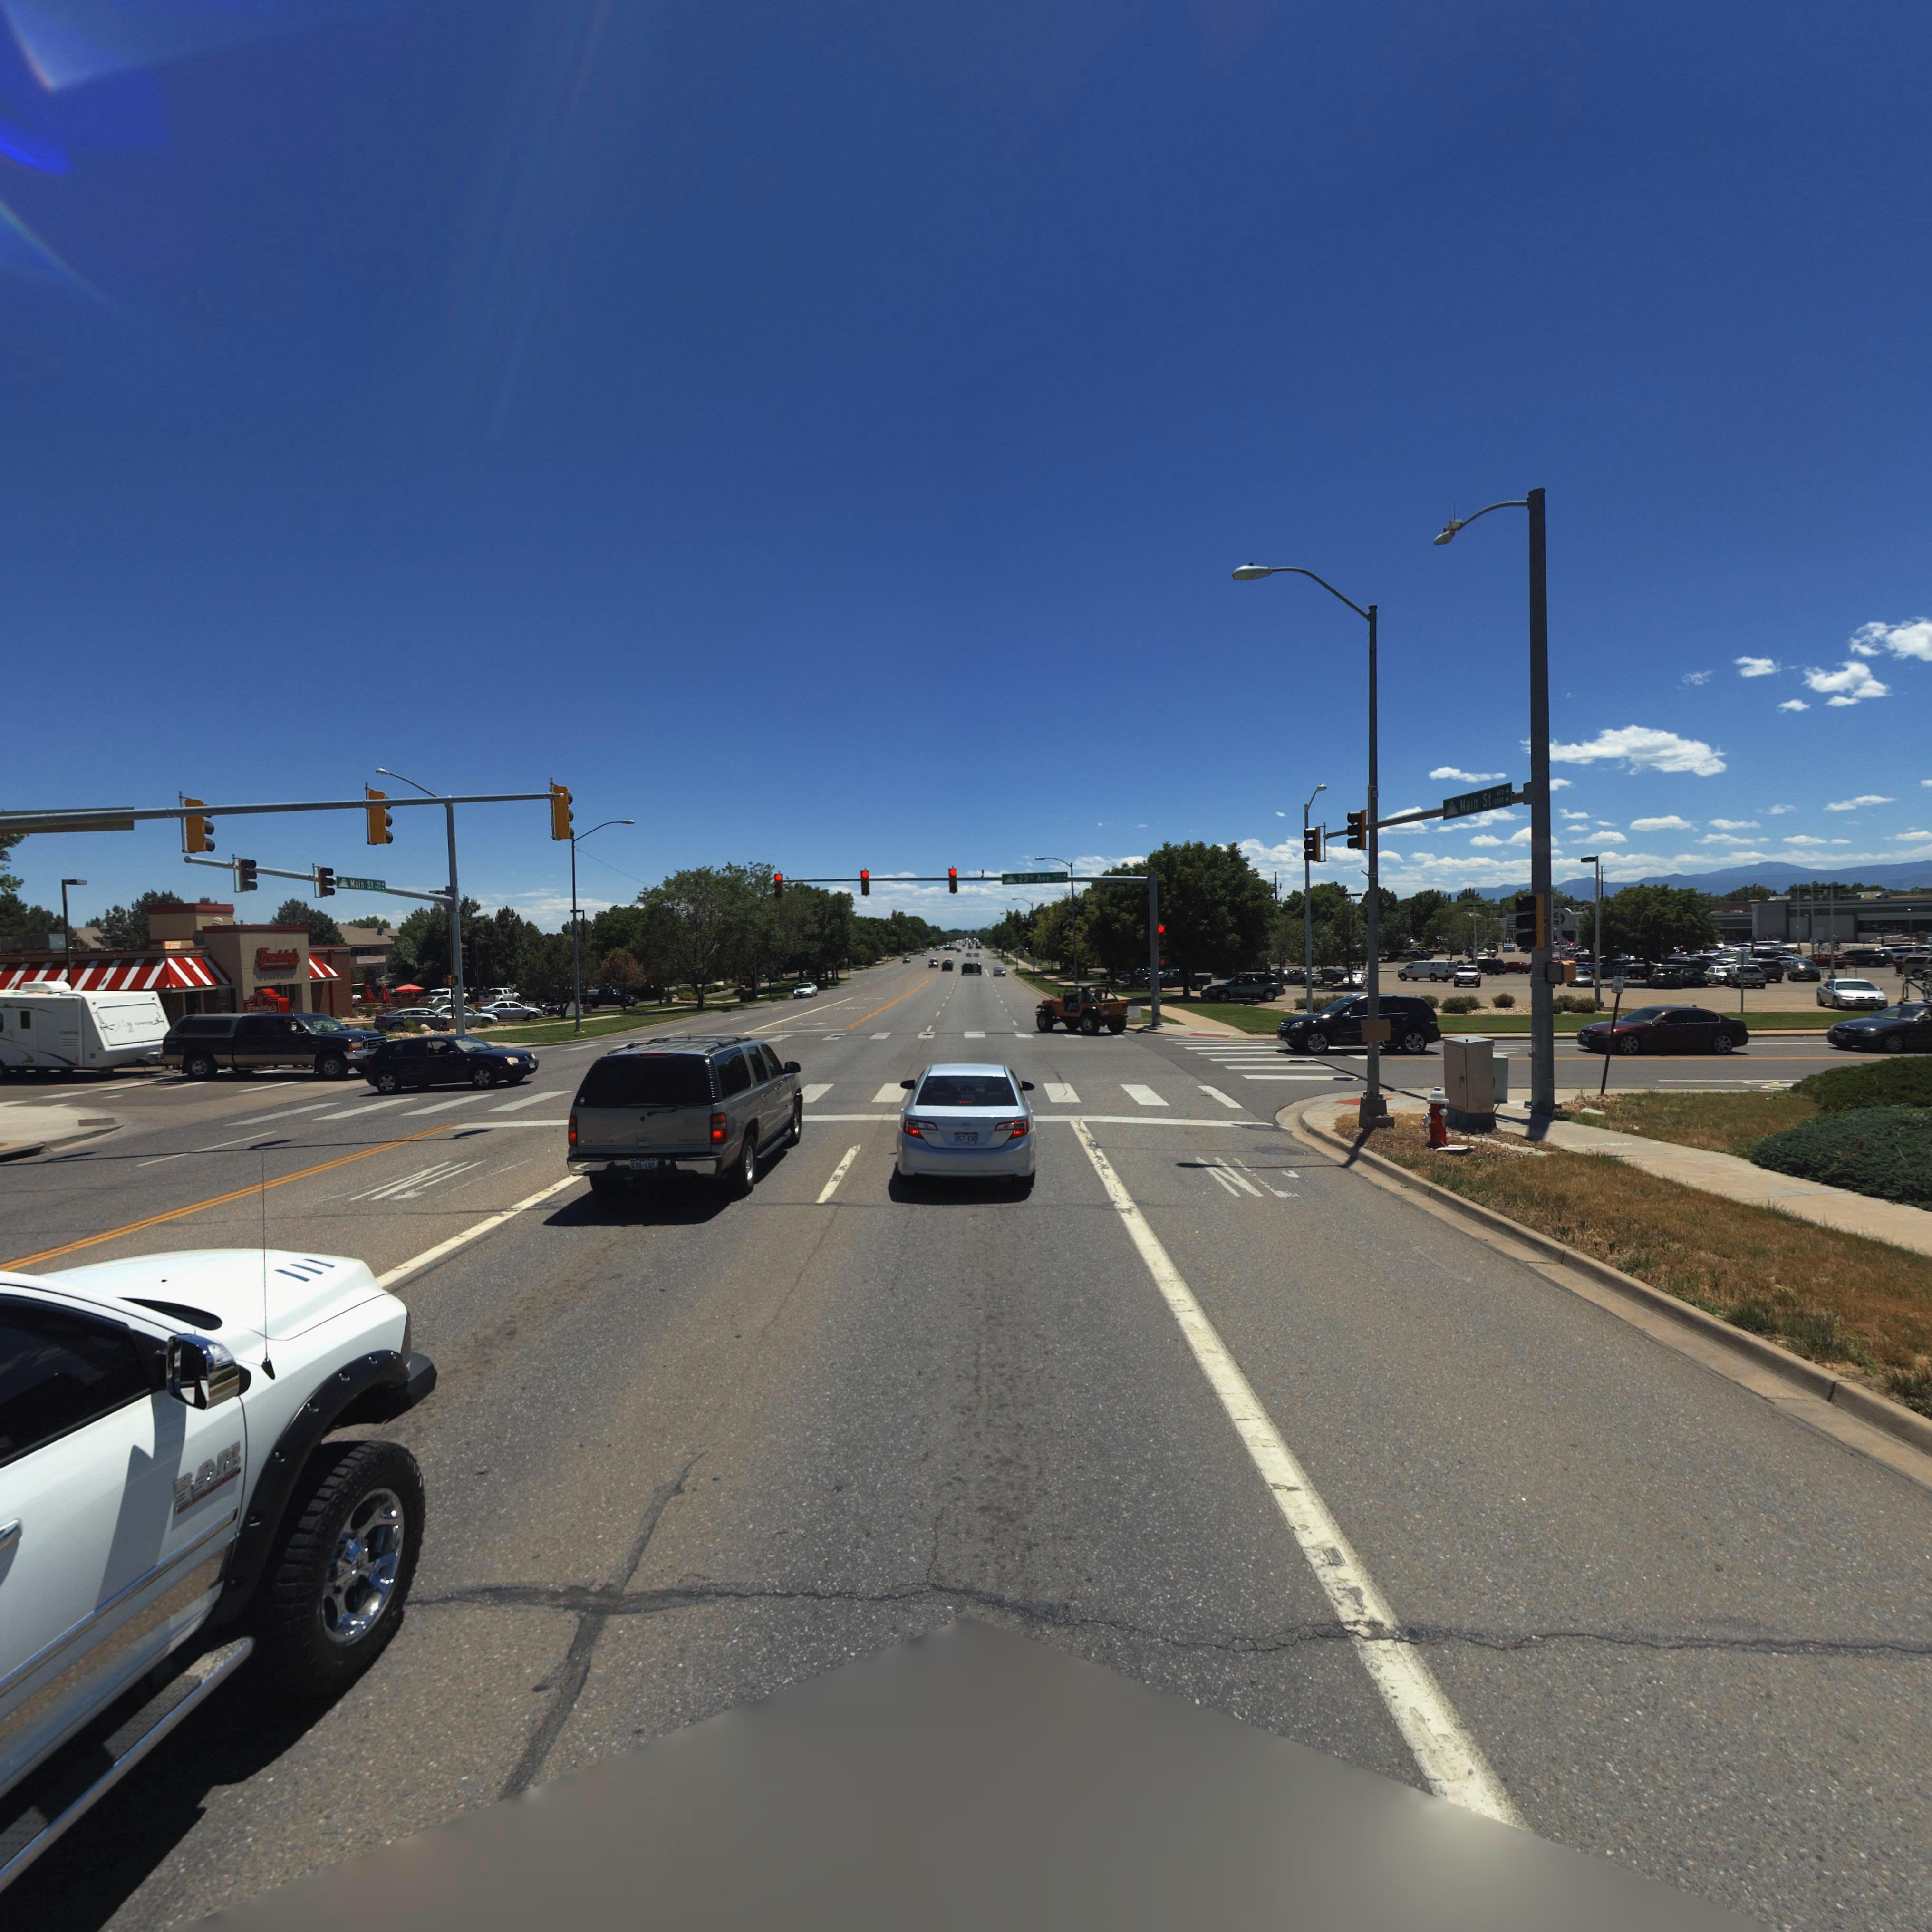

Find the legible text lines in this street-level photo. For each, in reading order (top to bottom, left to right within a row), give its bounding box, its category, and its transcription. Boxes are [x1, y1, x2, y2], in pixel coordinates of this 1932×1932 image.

[1497, 788, 1504, 796] StreetNumberRange: 60*
[1460, 792, 1491, 812] StreetName: Main St
[1494, 796, 1509, 805] StreetNumberRange: 23*0*
[1018, 874, 1050, 882] StreetName: 23** Ave
[350, 879, 373, 889] StreetName: Main St
[256, 947, 299, 963] BusinessName: F*edd***
[245, 1003, 277, 1012] BusinessName: Freddy's